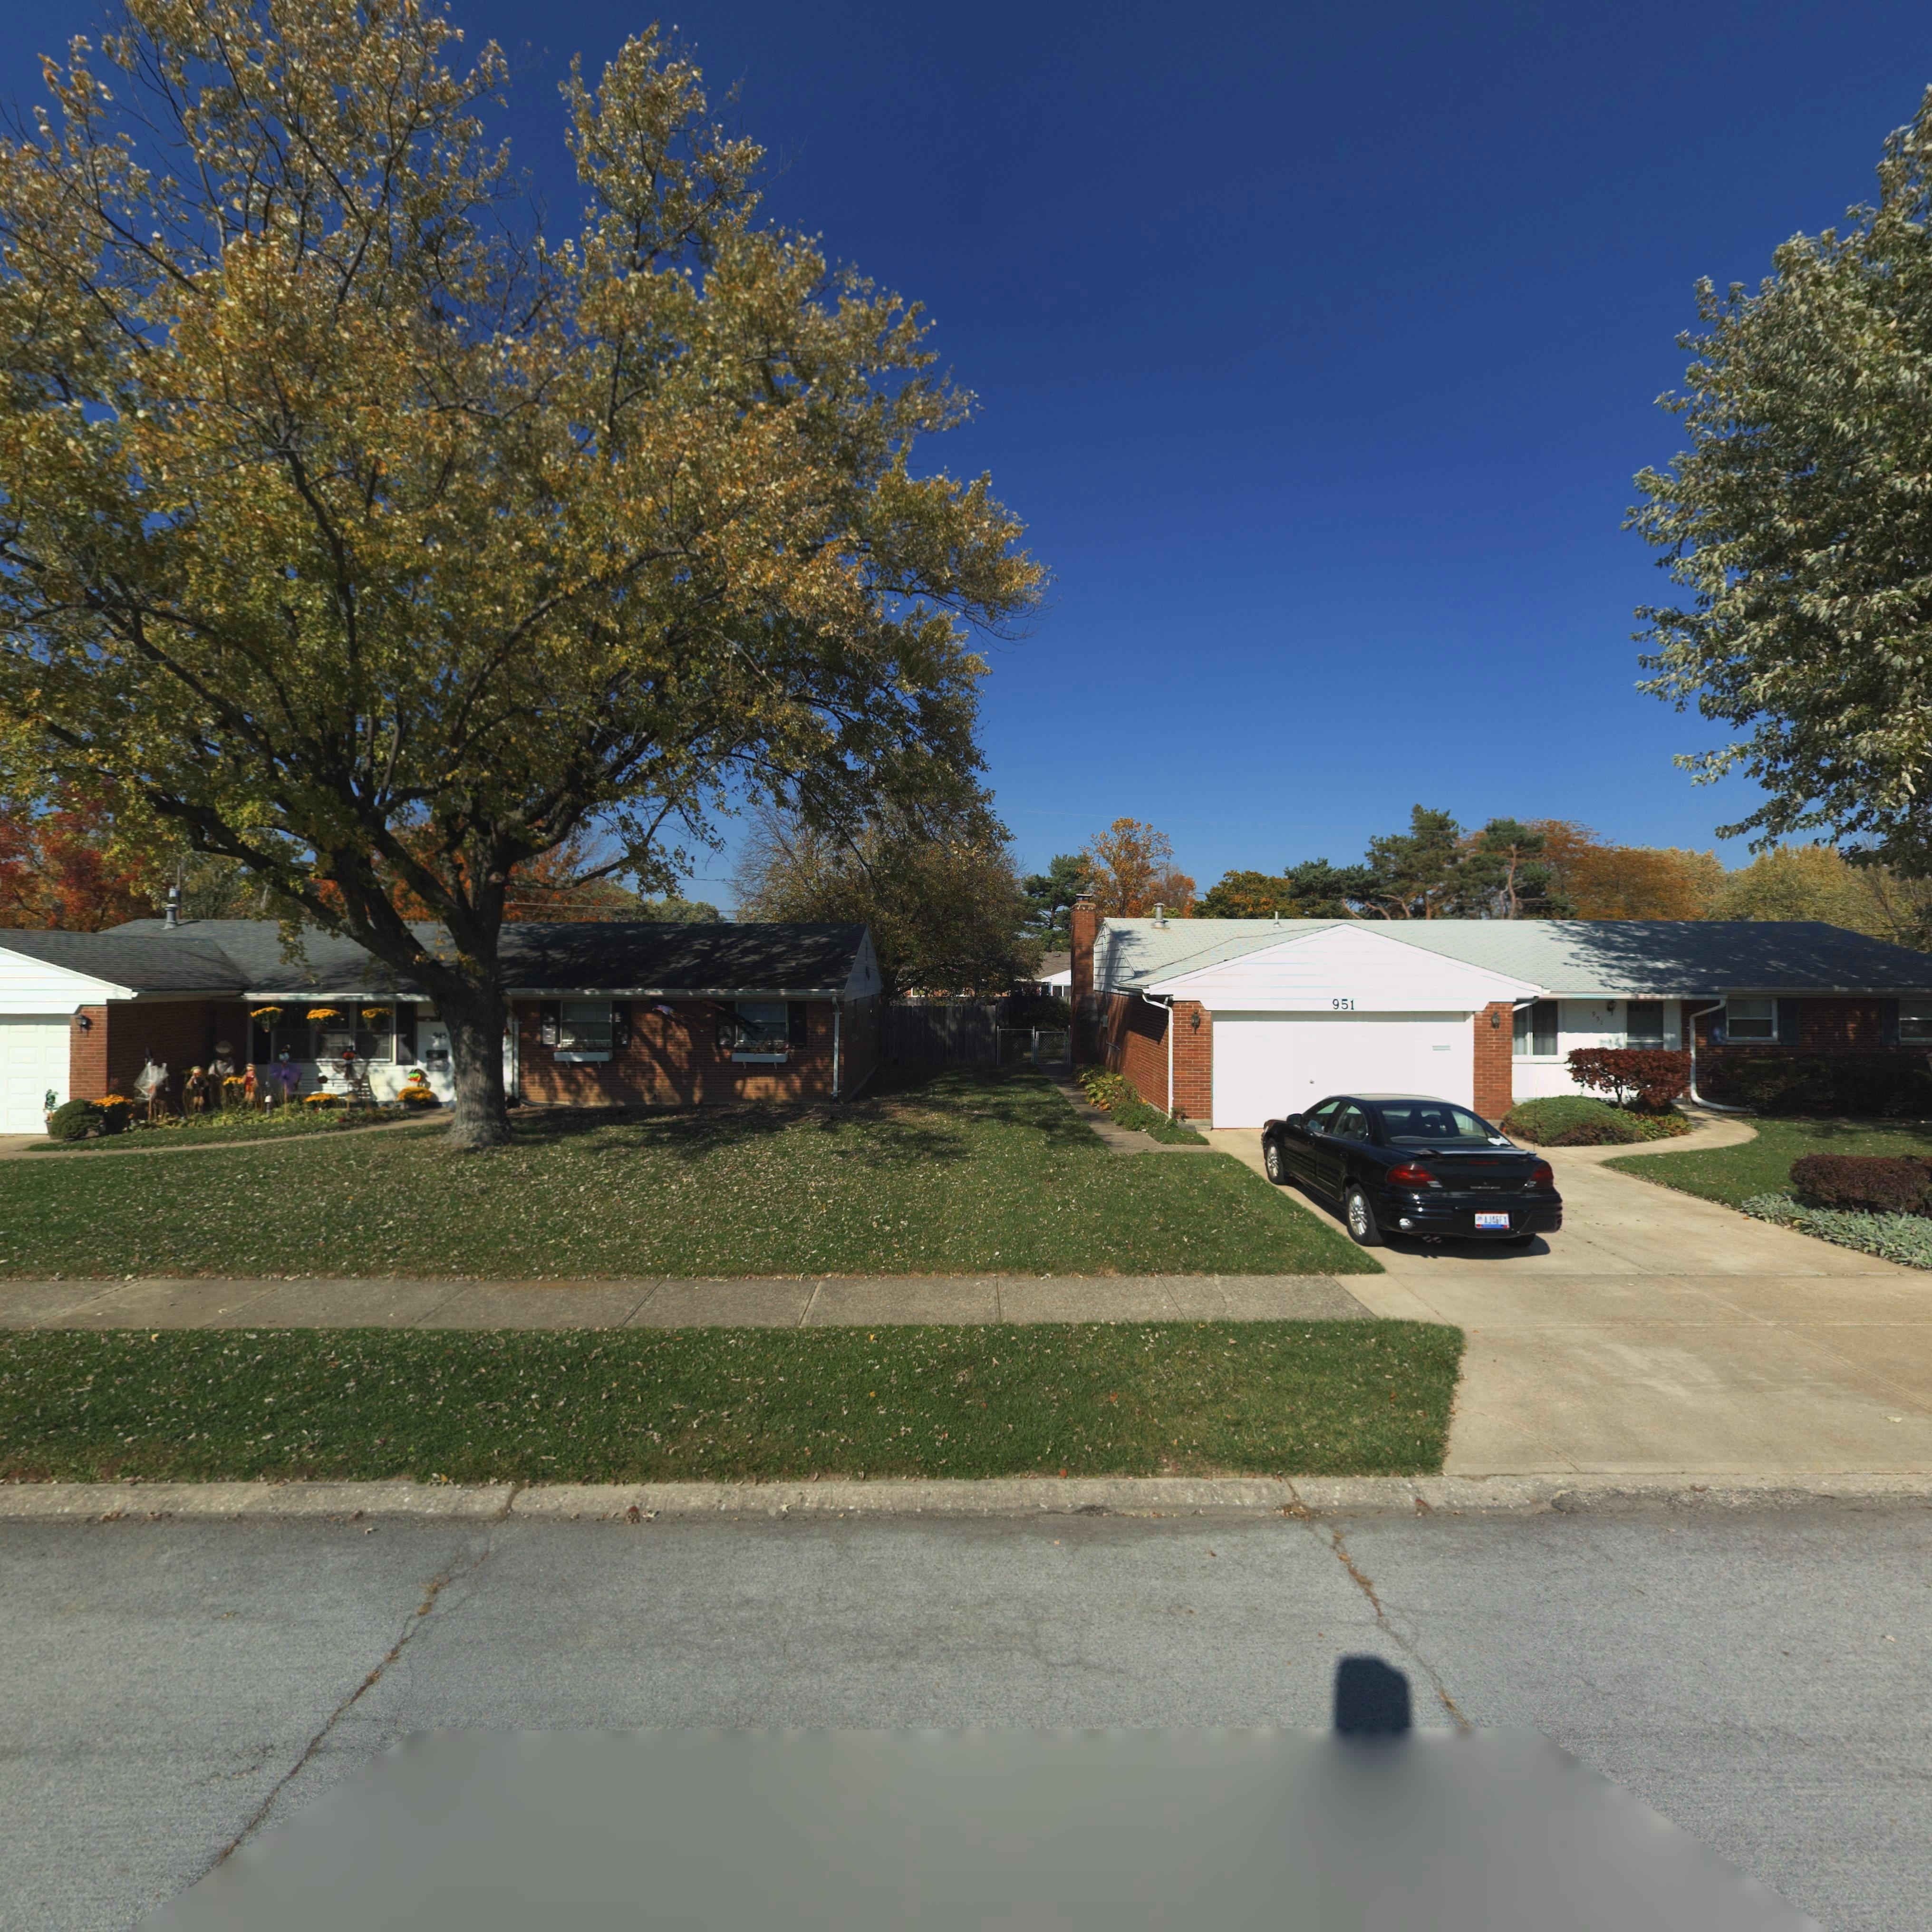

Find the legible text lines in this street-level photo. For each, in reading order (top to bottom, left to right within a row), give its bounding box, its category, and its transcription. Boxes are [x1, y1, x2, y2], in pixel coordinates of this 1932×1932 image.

[1332, 998, 1355, 1011] StreetNumber: 951
[1591, 1010, 1604, 1026] StreetNumber: 951
[432, 1031, 448, 1040] StreetNumber: 945